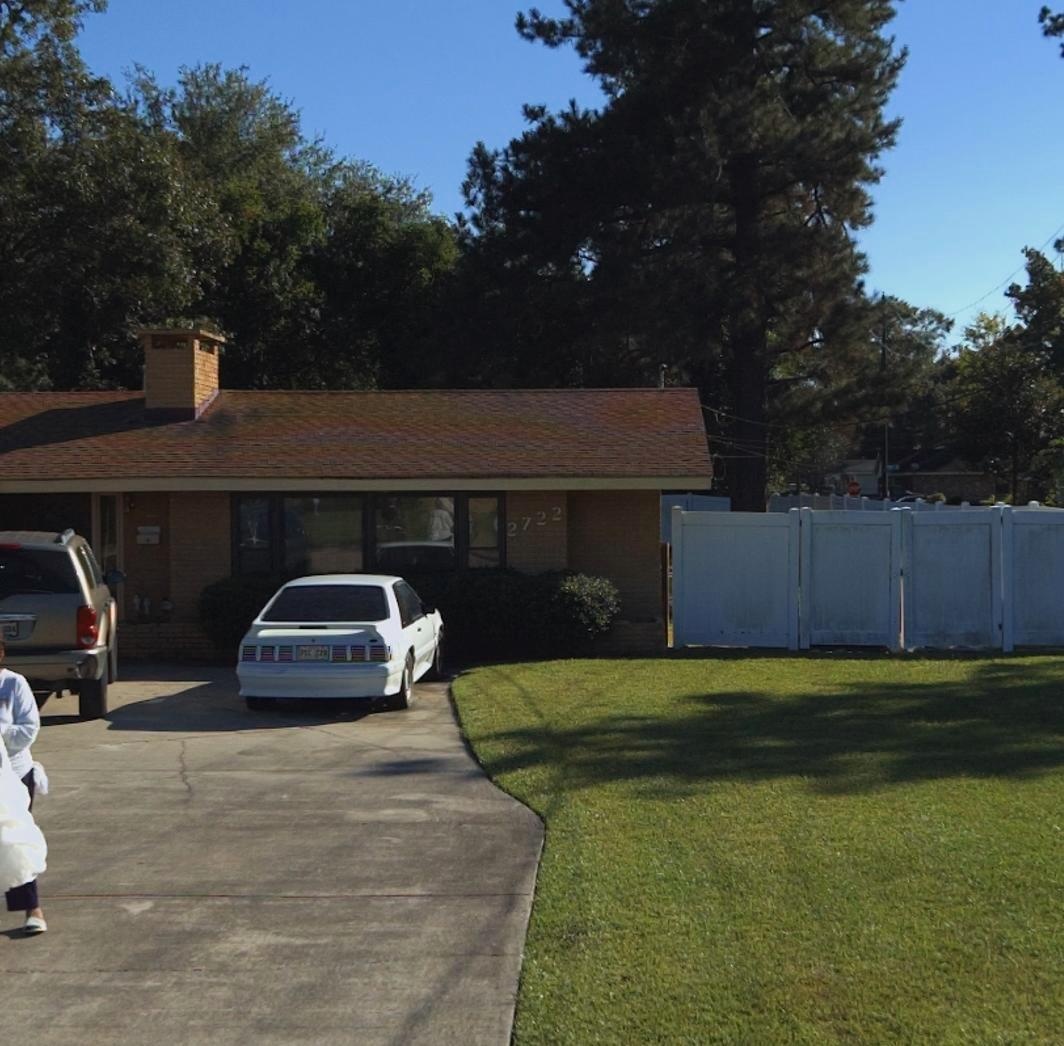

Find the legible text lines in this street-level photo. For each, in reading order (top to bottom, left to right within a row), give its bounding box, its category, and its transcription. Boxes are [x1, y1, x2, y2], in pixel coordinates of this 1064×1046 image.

[505, 505, 564, 538] StreetNumber: 2722